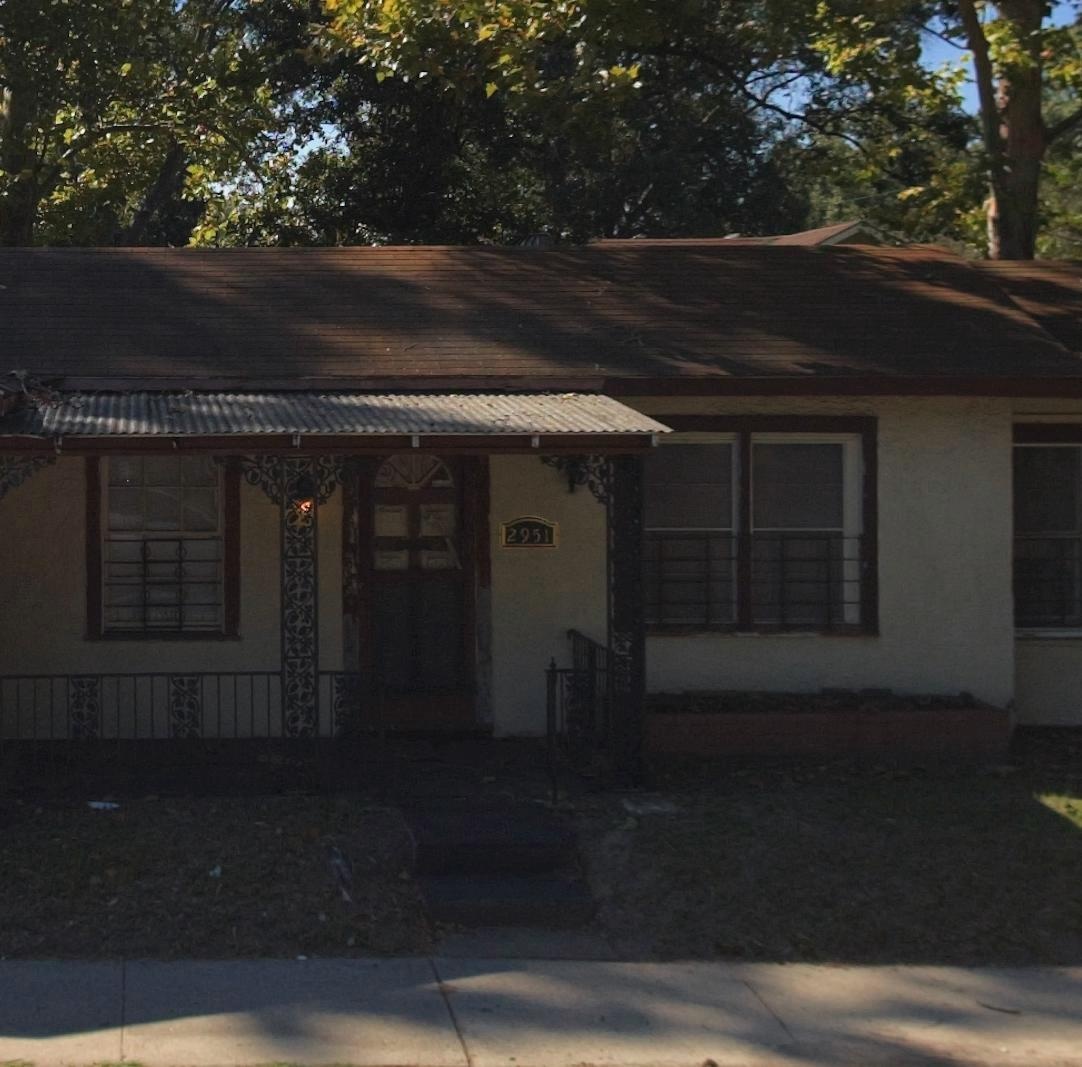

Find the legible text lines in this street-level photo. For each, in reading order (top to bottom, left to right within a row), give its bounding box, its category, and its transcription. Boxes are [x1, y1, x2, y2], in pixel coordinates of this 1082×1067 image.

[506, 527, 551, 544] StreetNumber: 2951